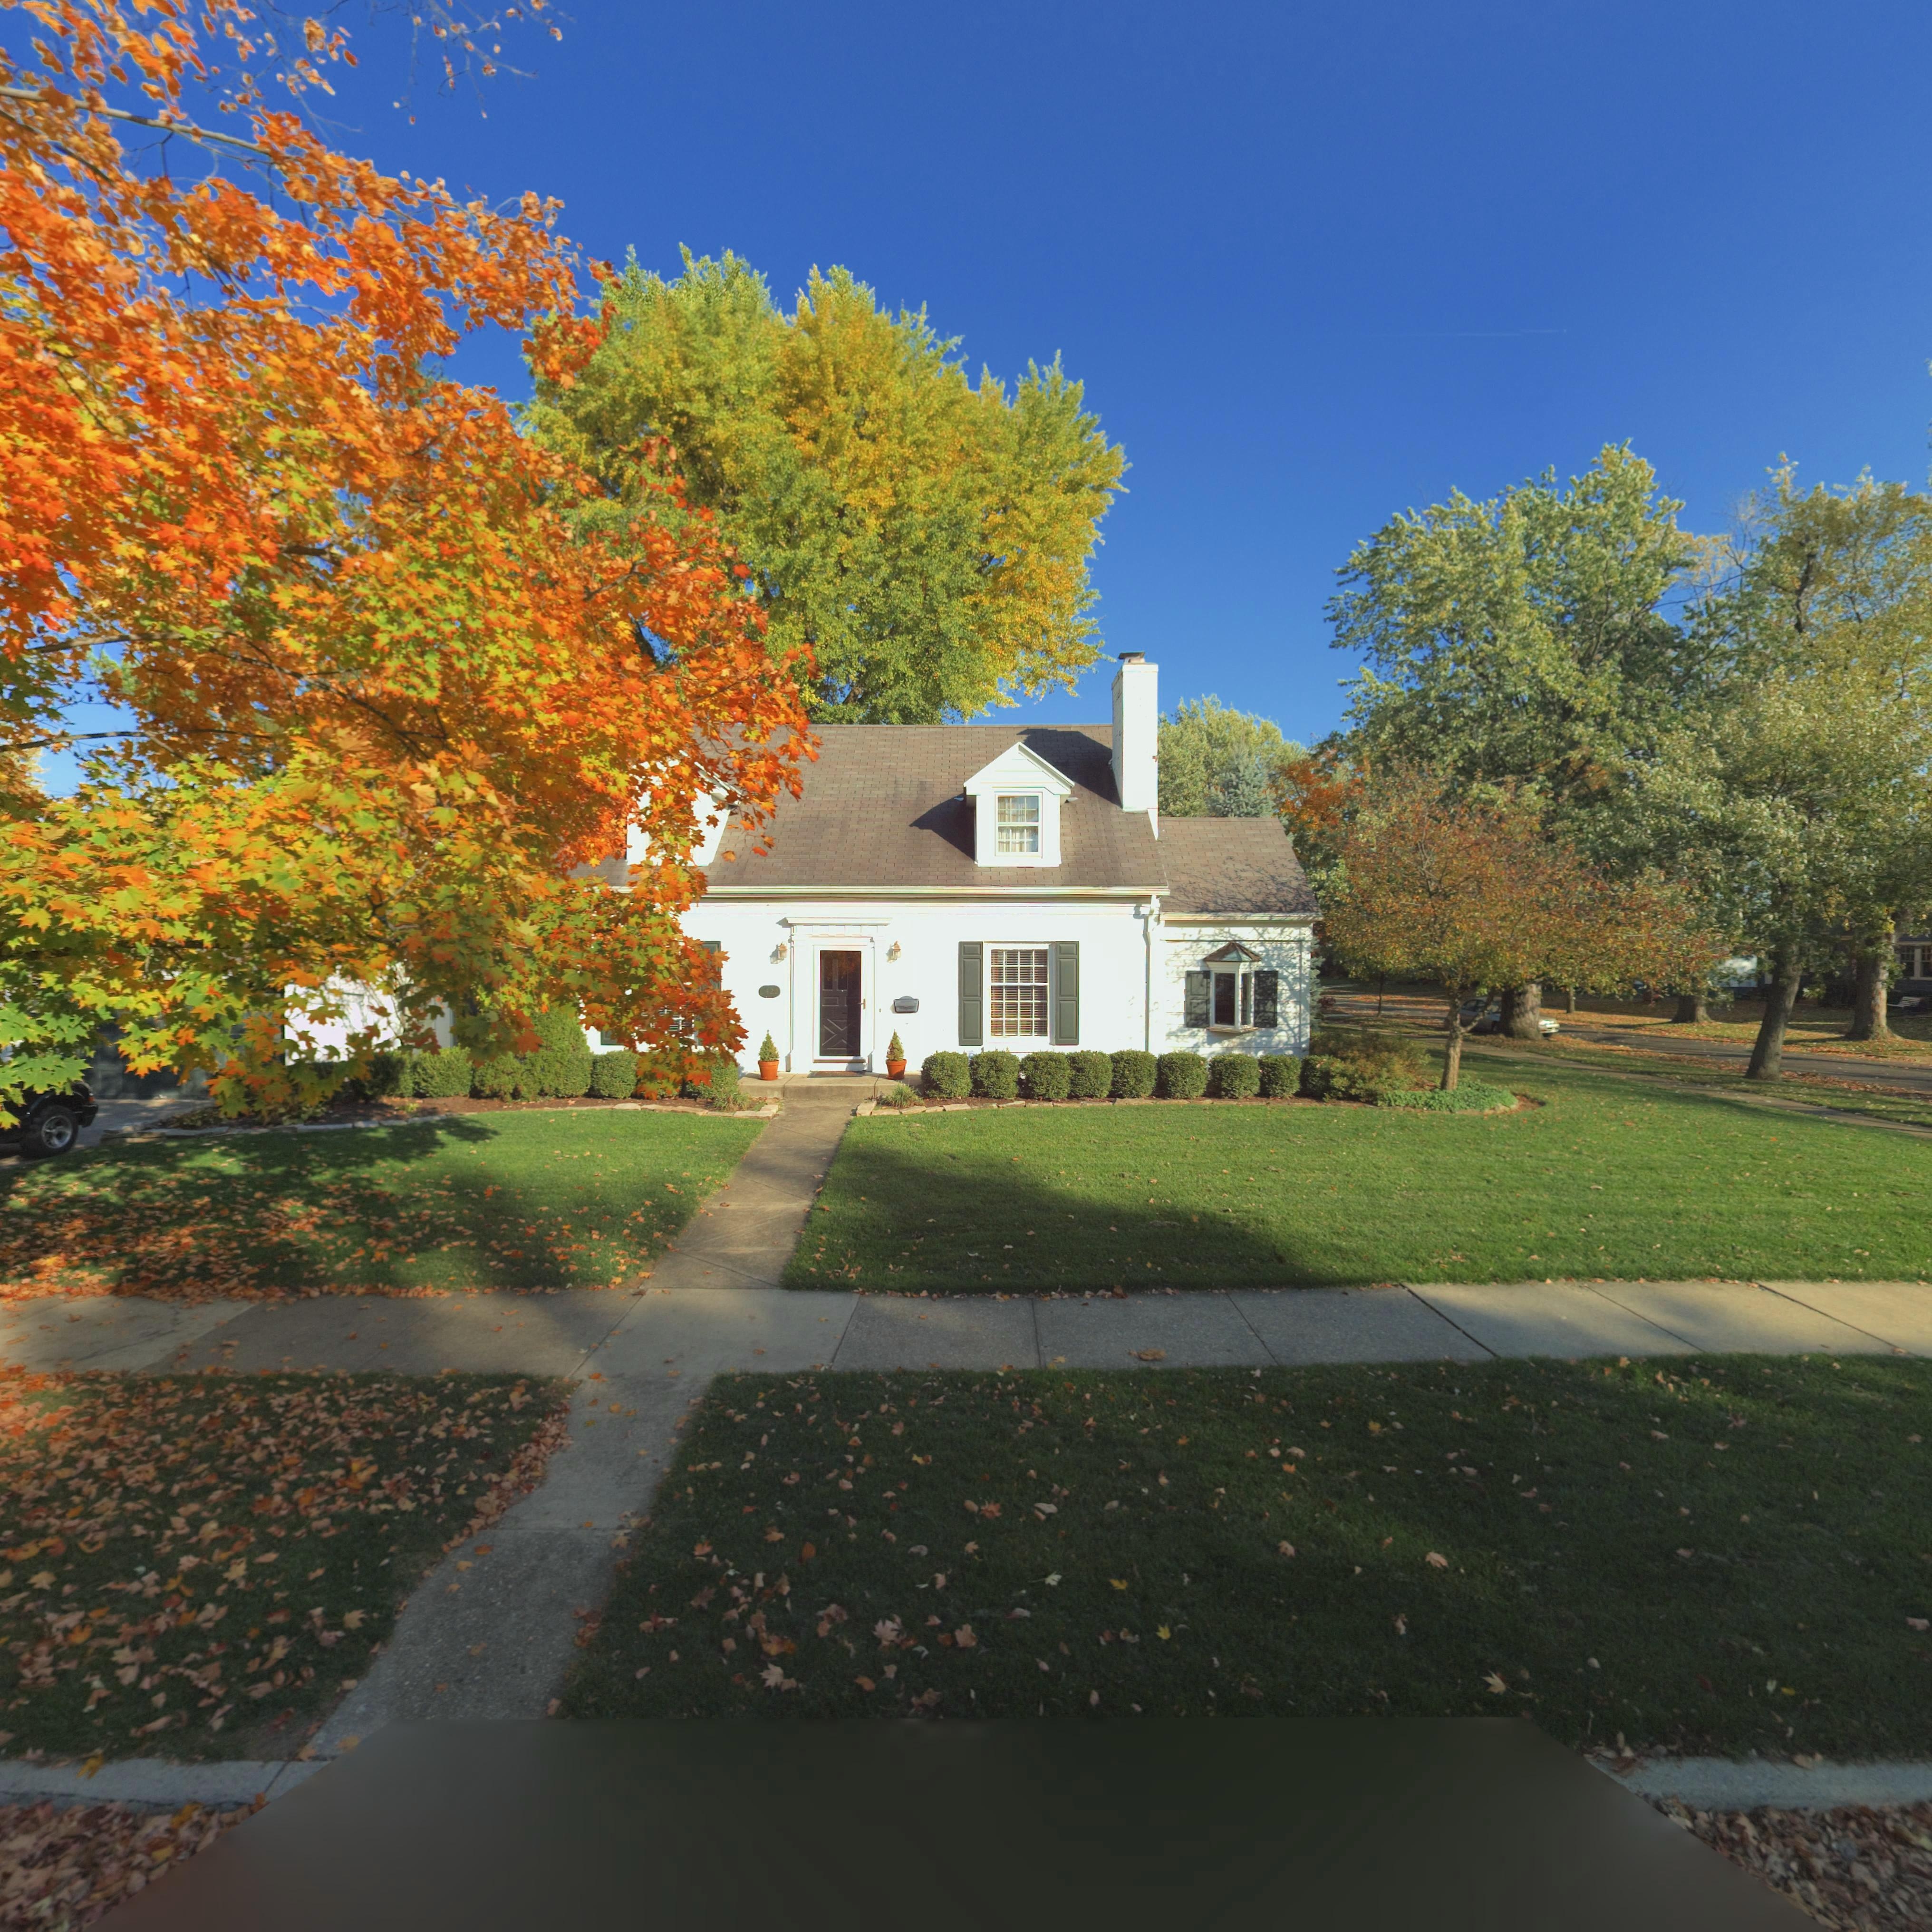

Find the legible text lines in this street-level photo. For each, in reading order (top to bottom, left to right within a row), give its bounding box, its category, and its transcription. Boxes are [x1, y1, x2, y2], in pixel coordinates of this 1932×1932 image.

[760, 988, 778, 995] StreetNumber: 1420